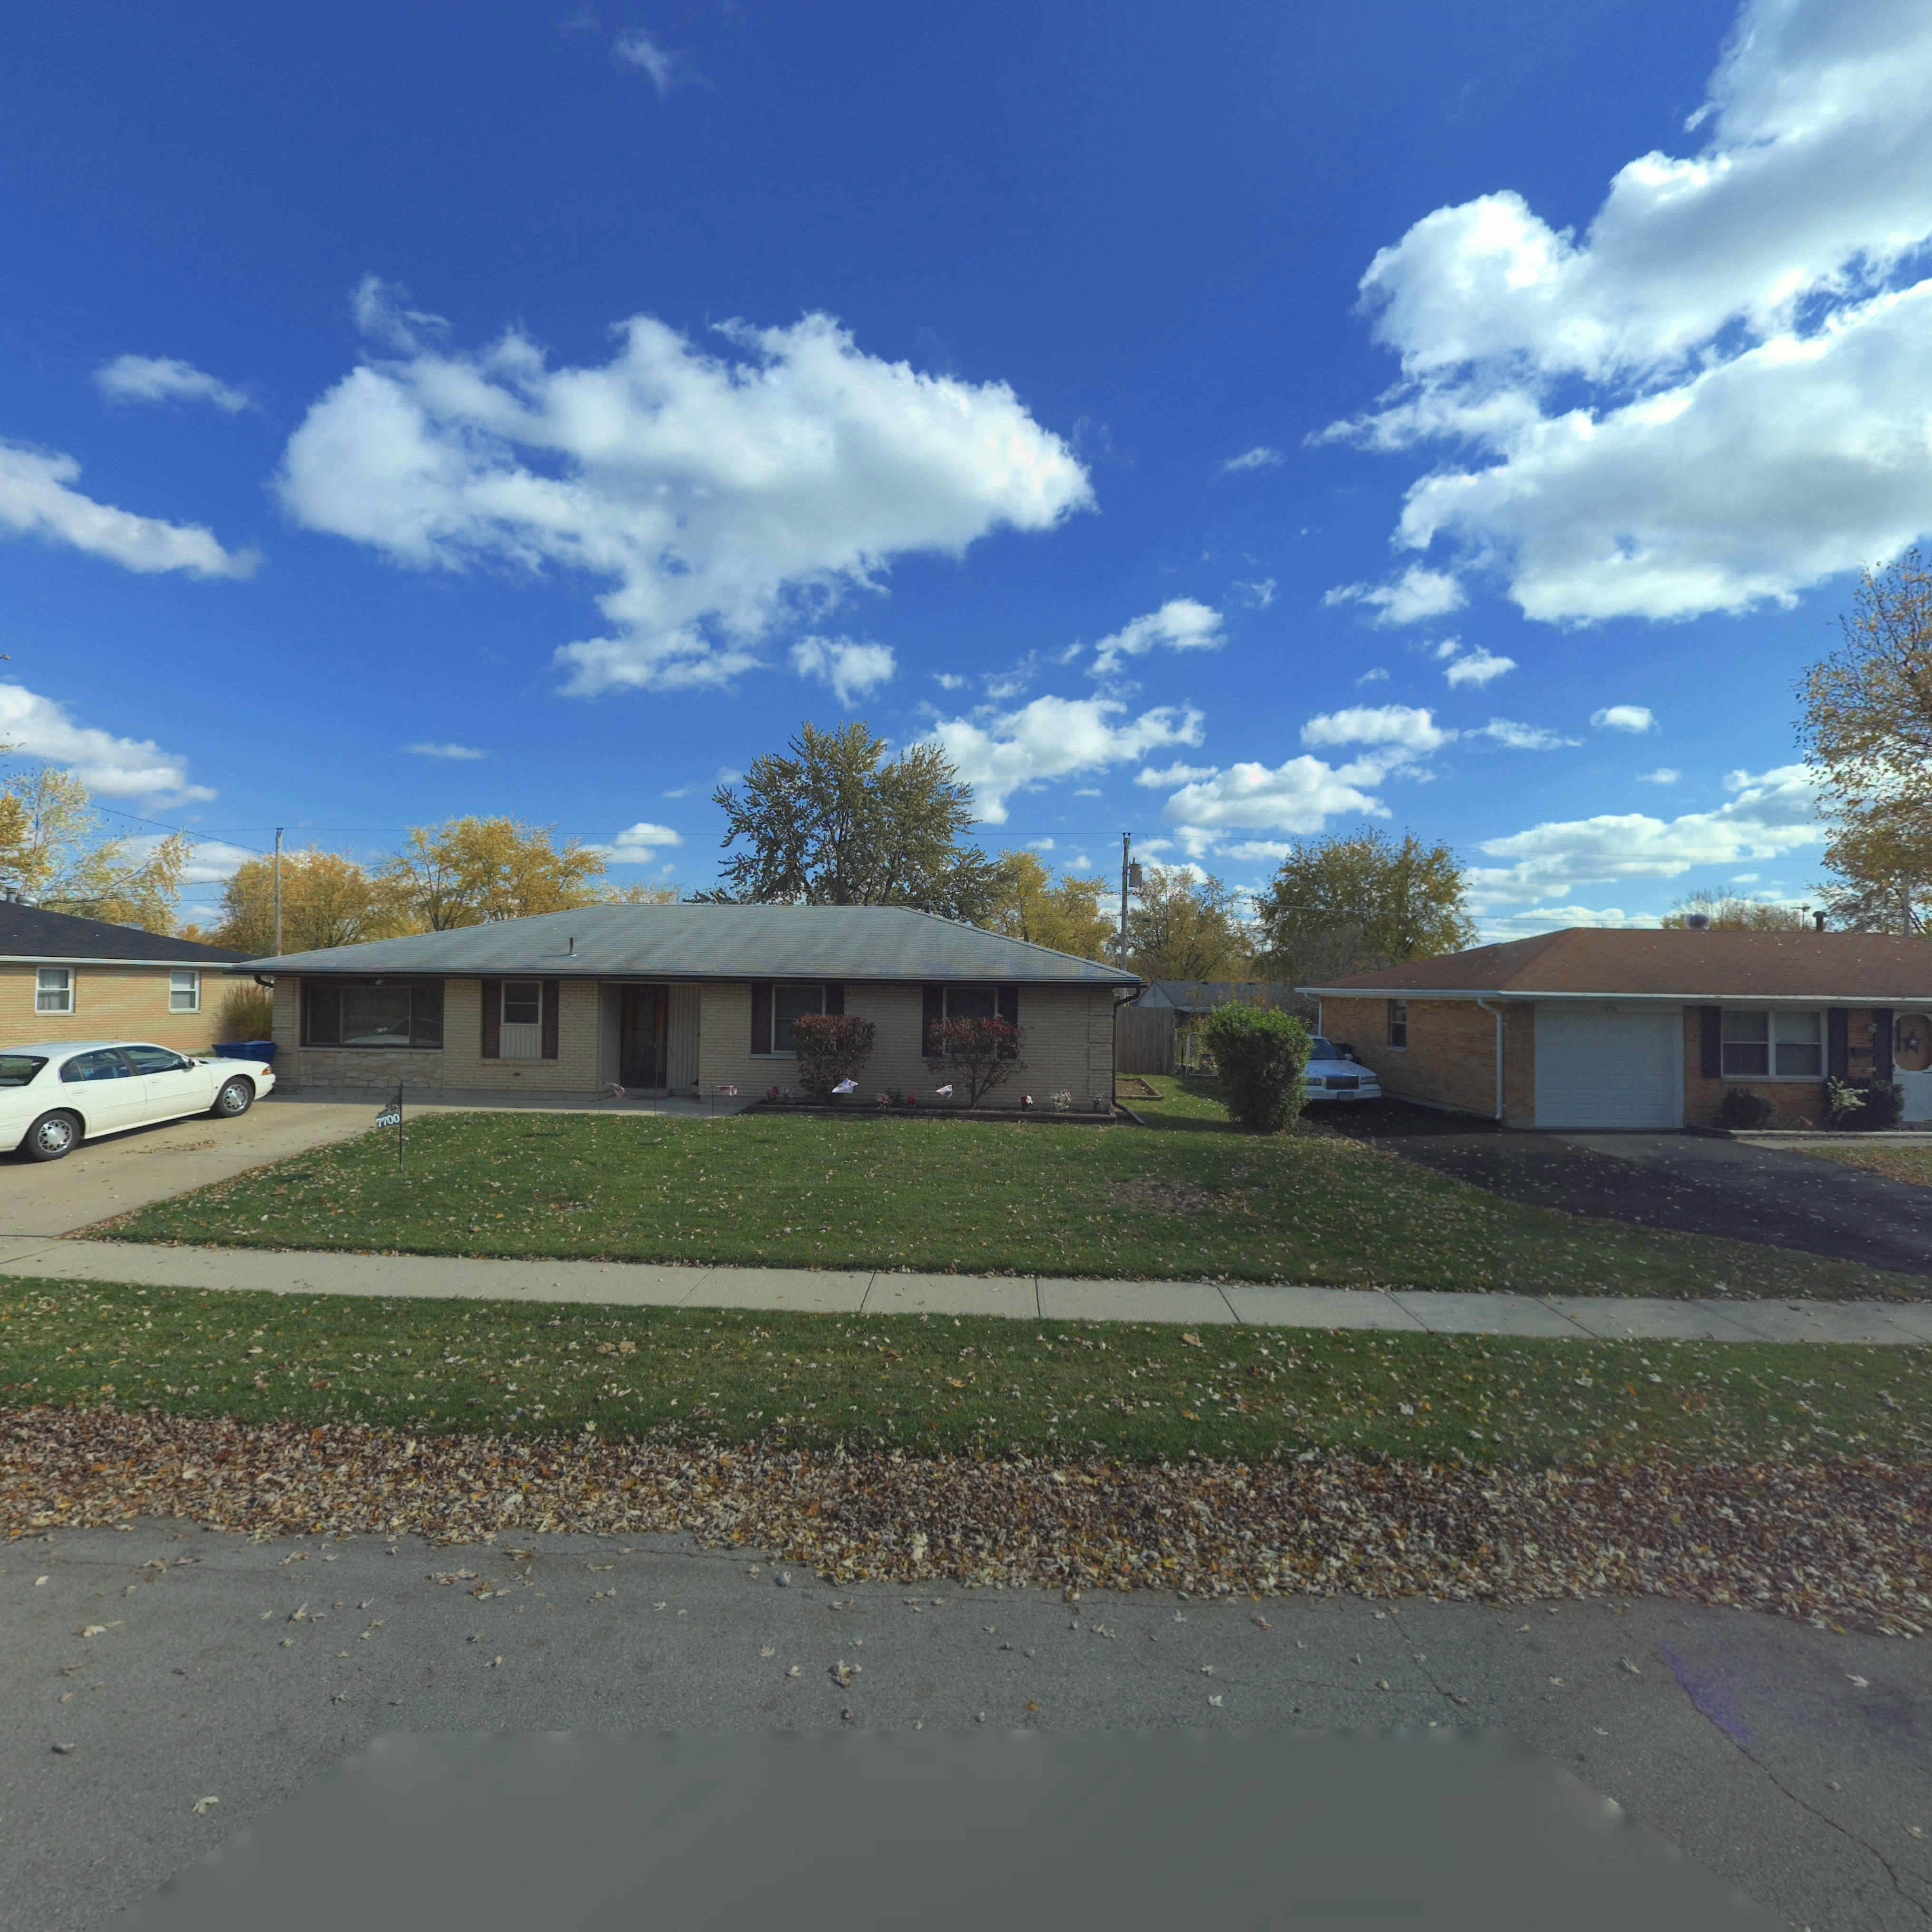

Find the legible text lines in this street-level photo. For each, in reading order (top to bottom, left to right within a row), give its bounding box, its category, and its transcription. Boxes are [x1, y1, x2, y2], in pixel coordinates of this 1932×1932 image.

[564, 1006, 585, 1023] StreetNumber: 7700
[1599, 1005, 1619, 1012] StreetNumber: 7690
[375, 1112, 401, 1128] StreetNumber: 7700